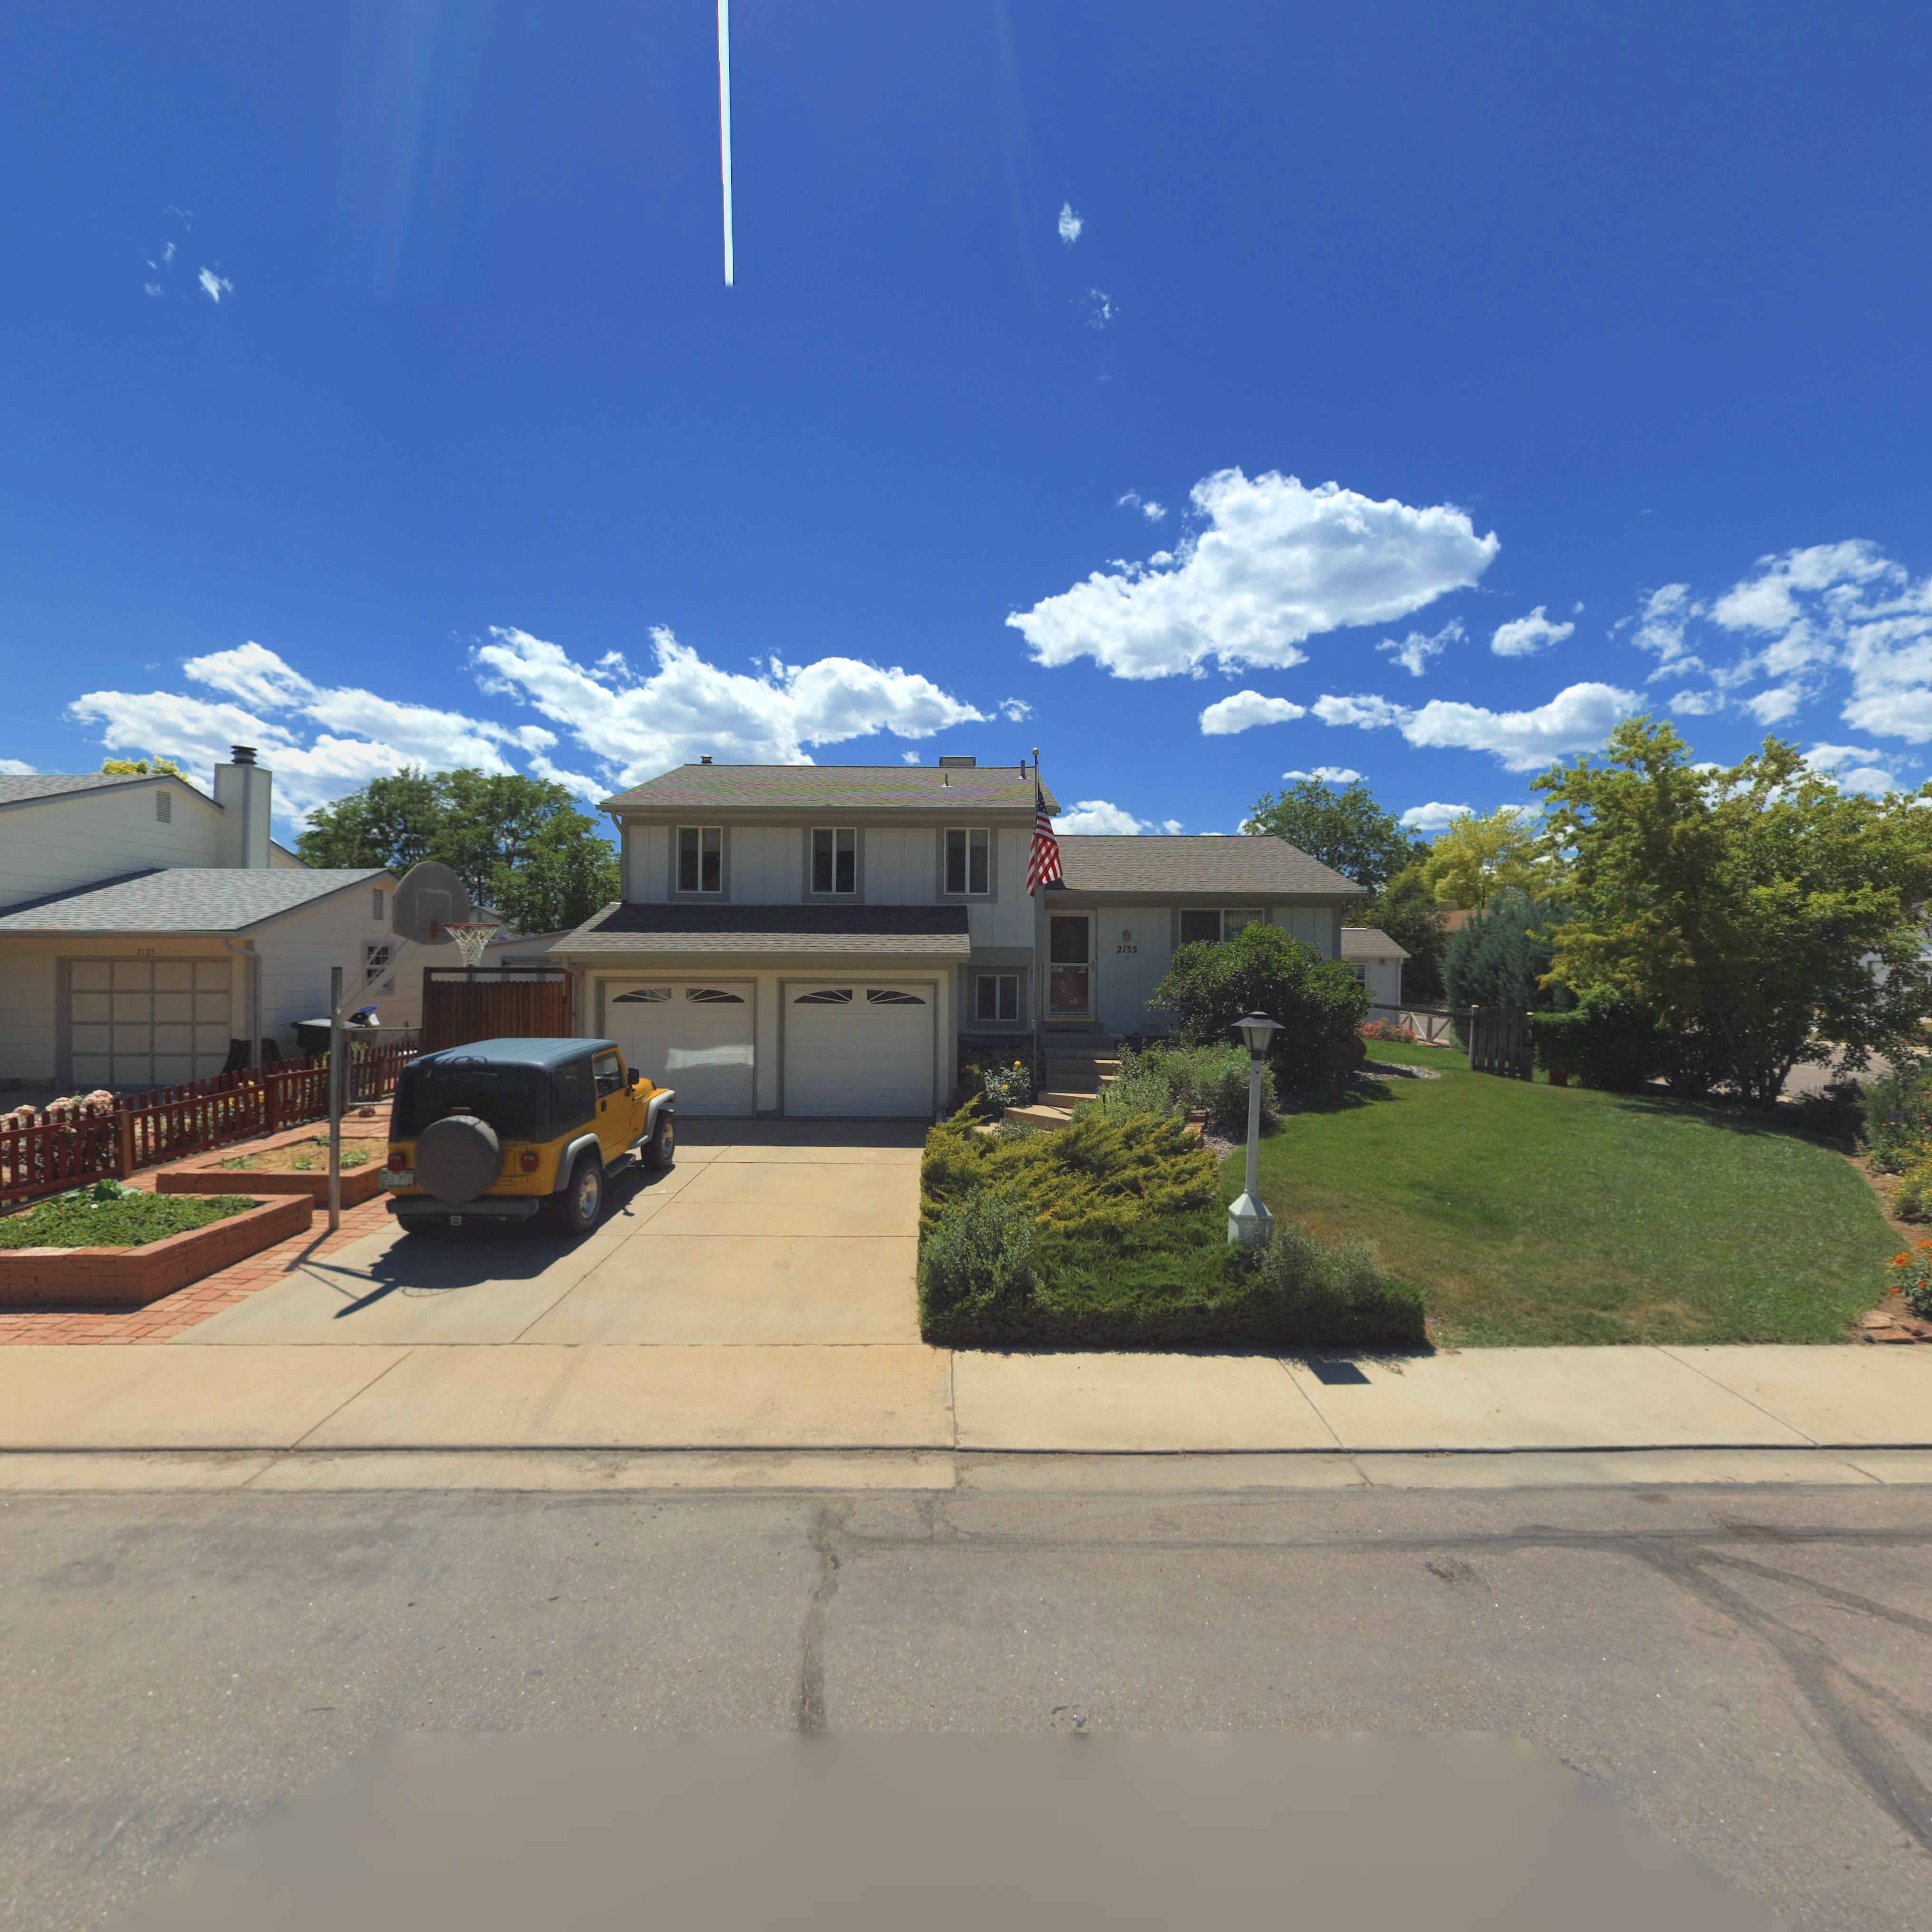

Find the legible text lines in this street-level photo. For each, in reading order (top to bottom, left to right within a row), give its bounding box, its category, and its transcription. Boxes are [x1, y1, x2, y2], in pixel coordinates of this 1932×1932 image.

[135, 948, 155, 956] StreetNumber: 2125
[1116, 945, 1138, 954] StreetNumber: 2135